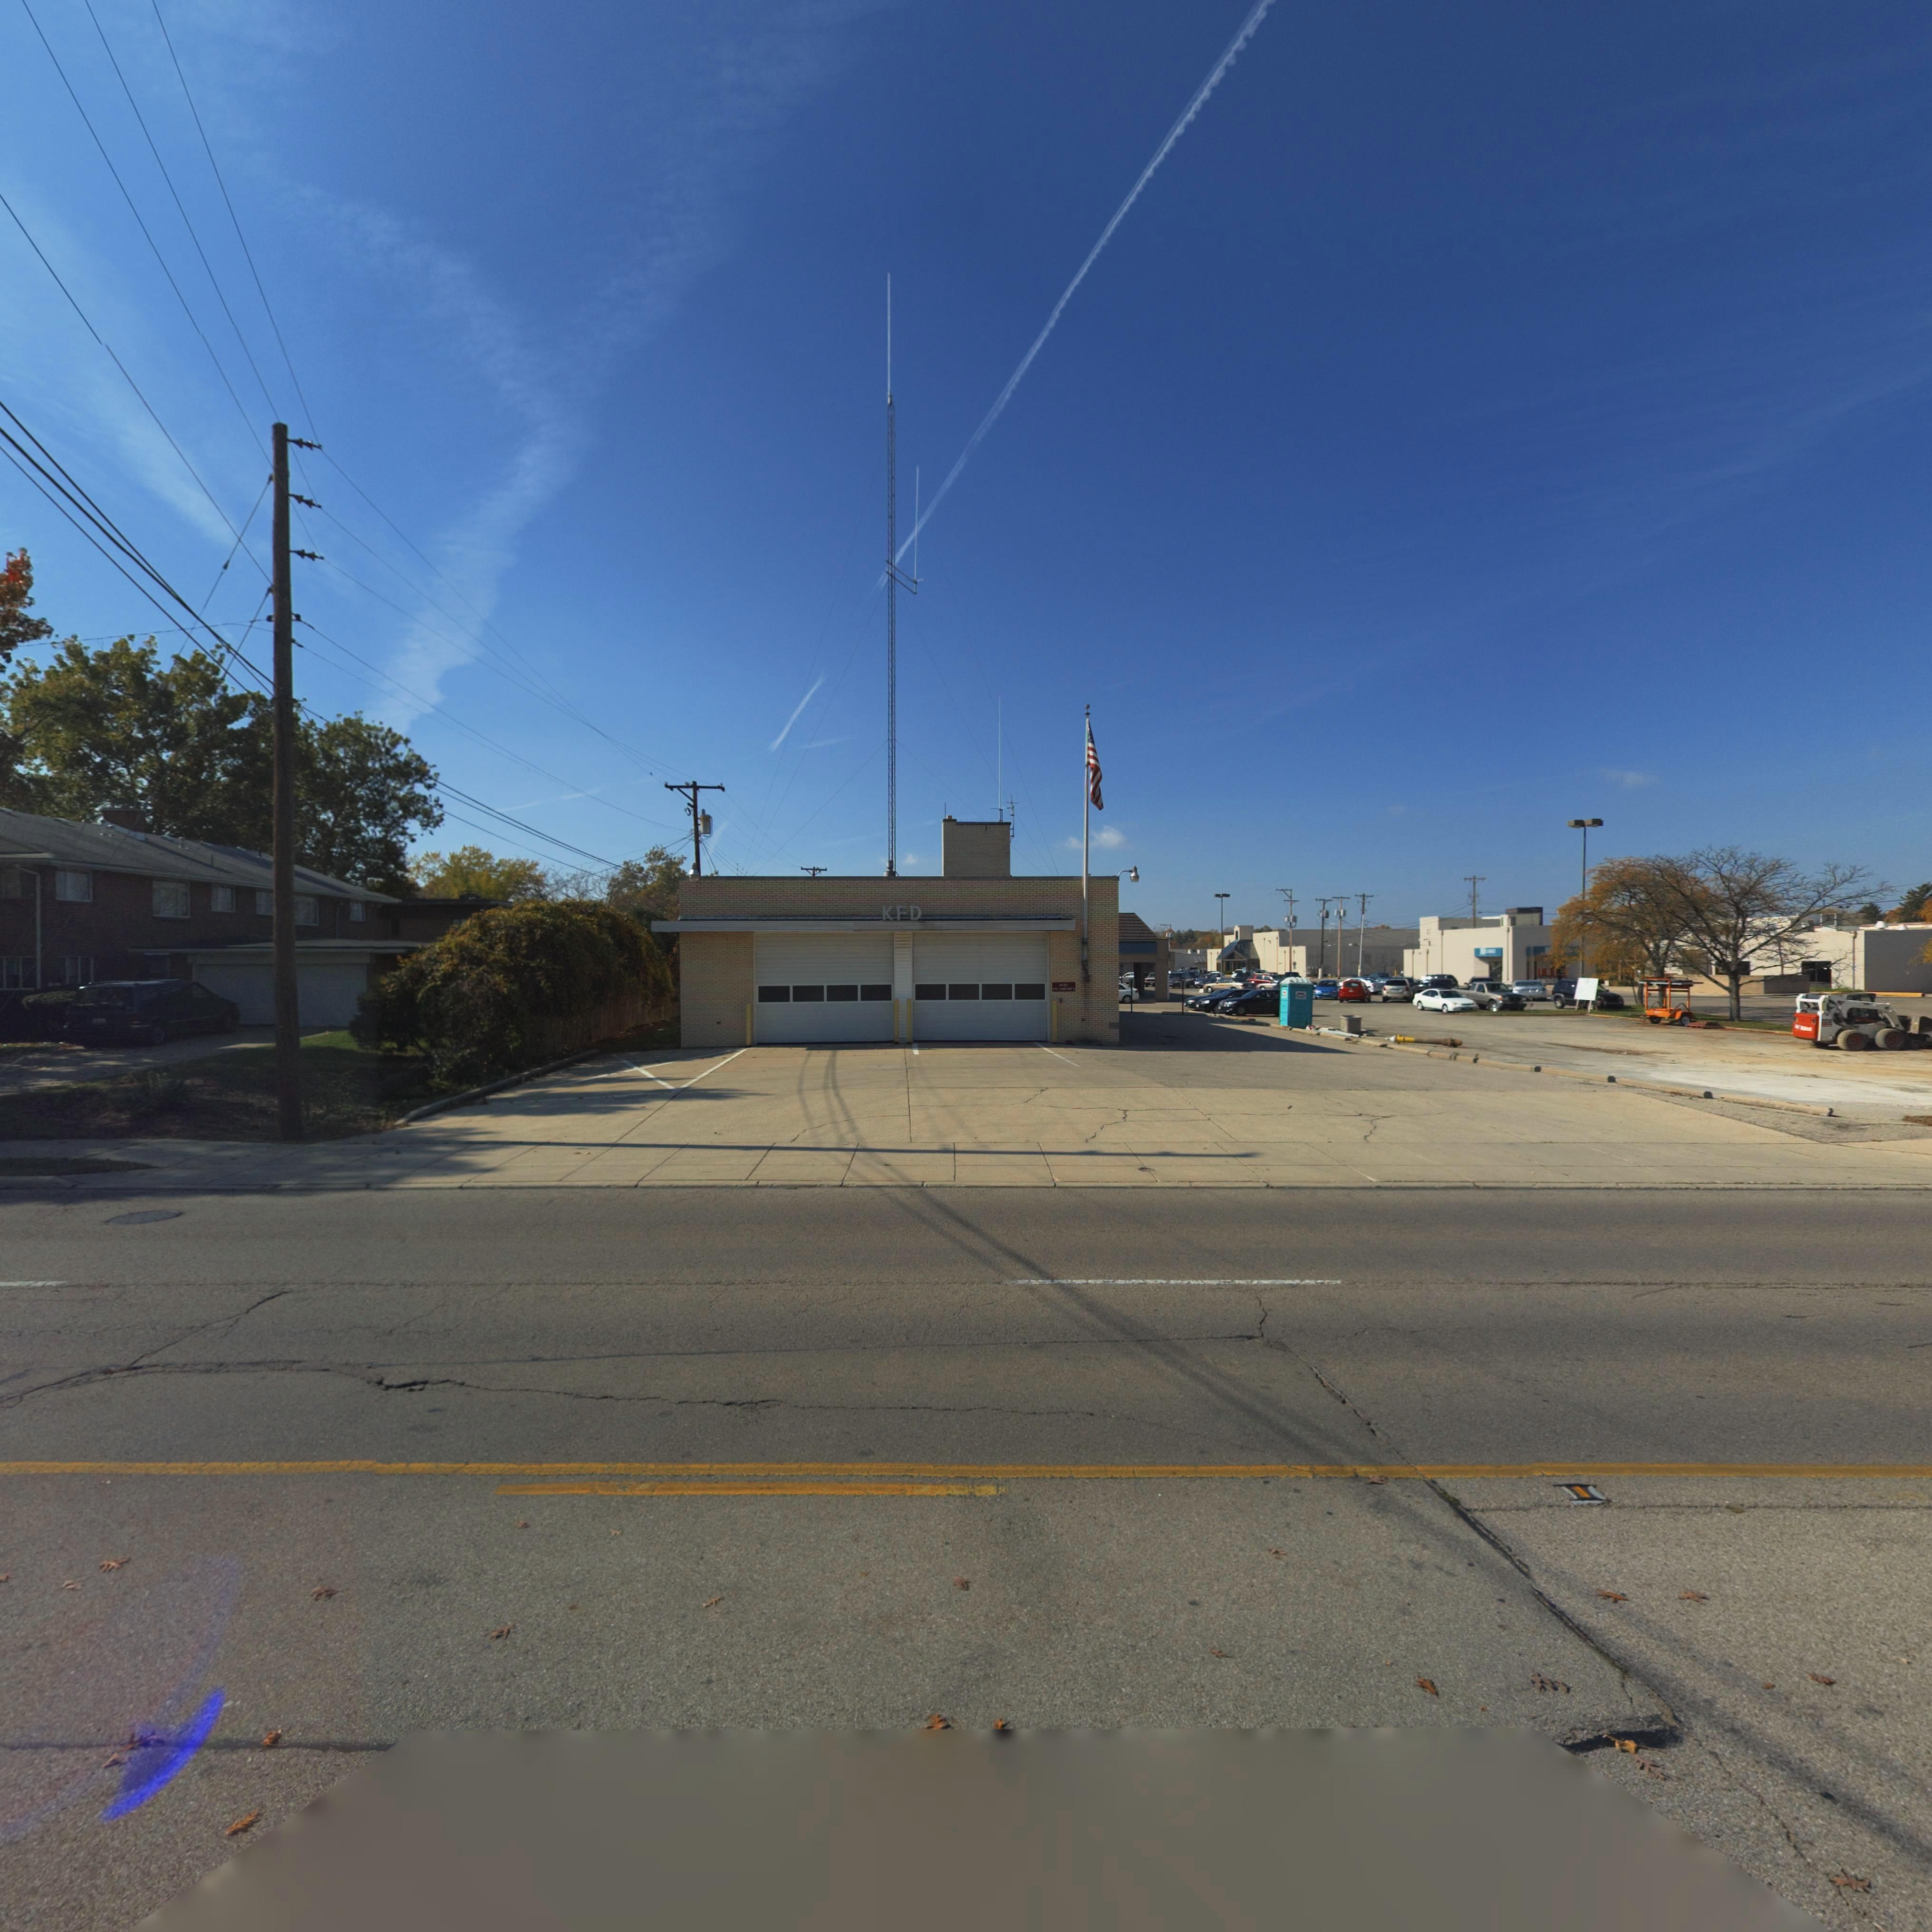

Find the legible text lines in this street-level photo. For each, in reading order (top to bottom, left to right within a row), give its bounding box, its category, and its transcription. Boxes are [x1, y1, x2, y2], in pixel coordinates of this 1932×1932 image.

[882, 905, 922, 921] None: KFD
[1539, 968, 1558, 976] None: FRE
[1058, 983, 1069, 987] StreetNumber: 4***